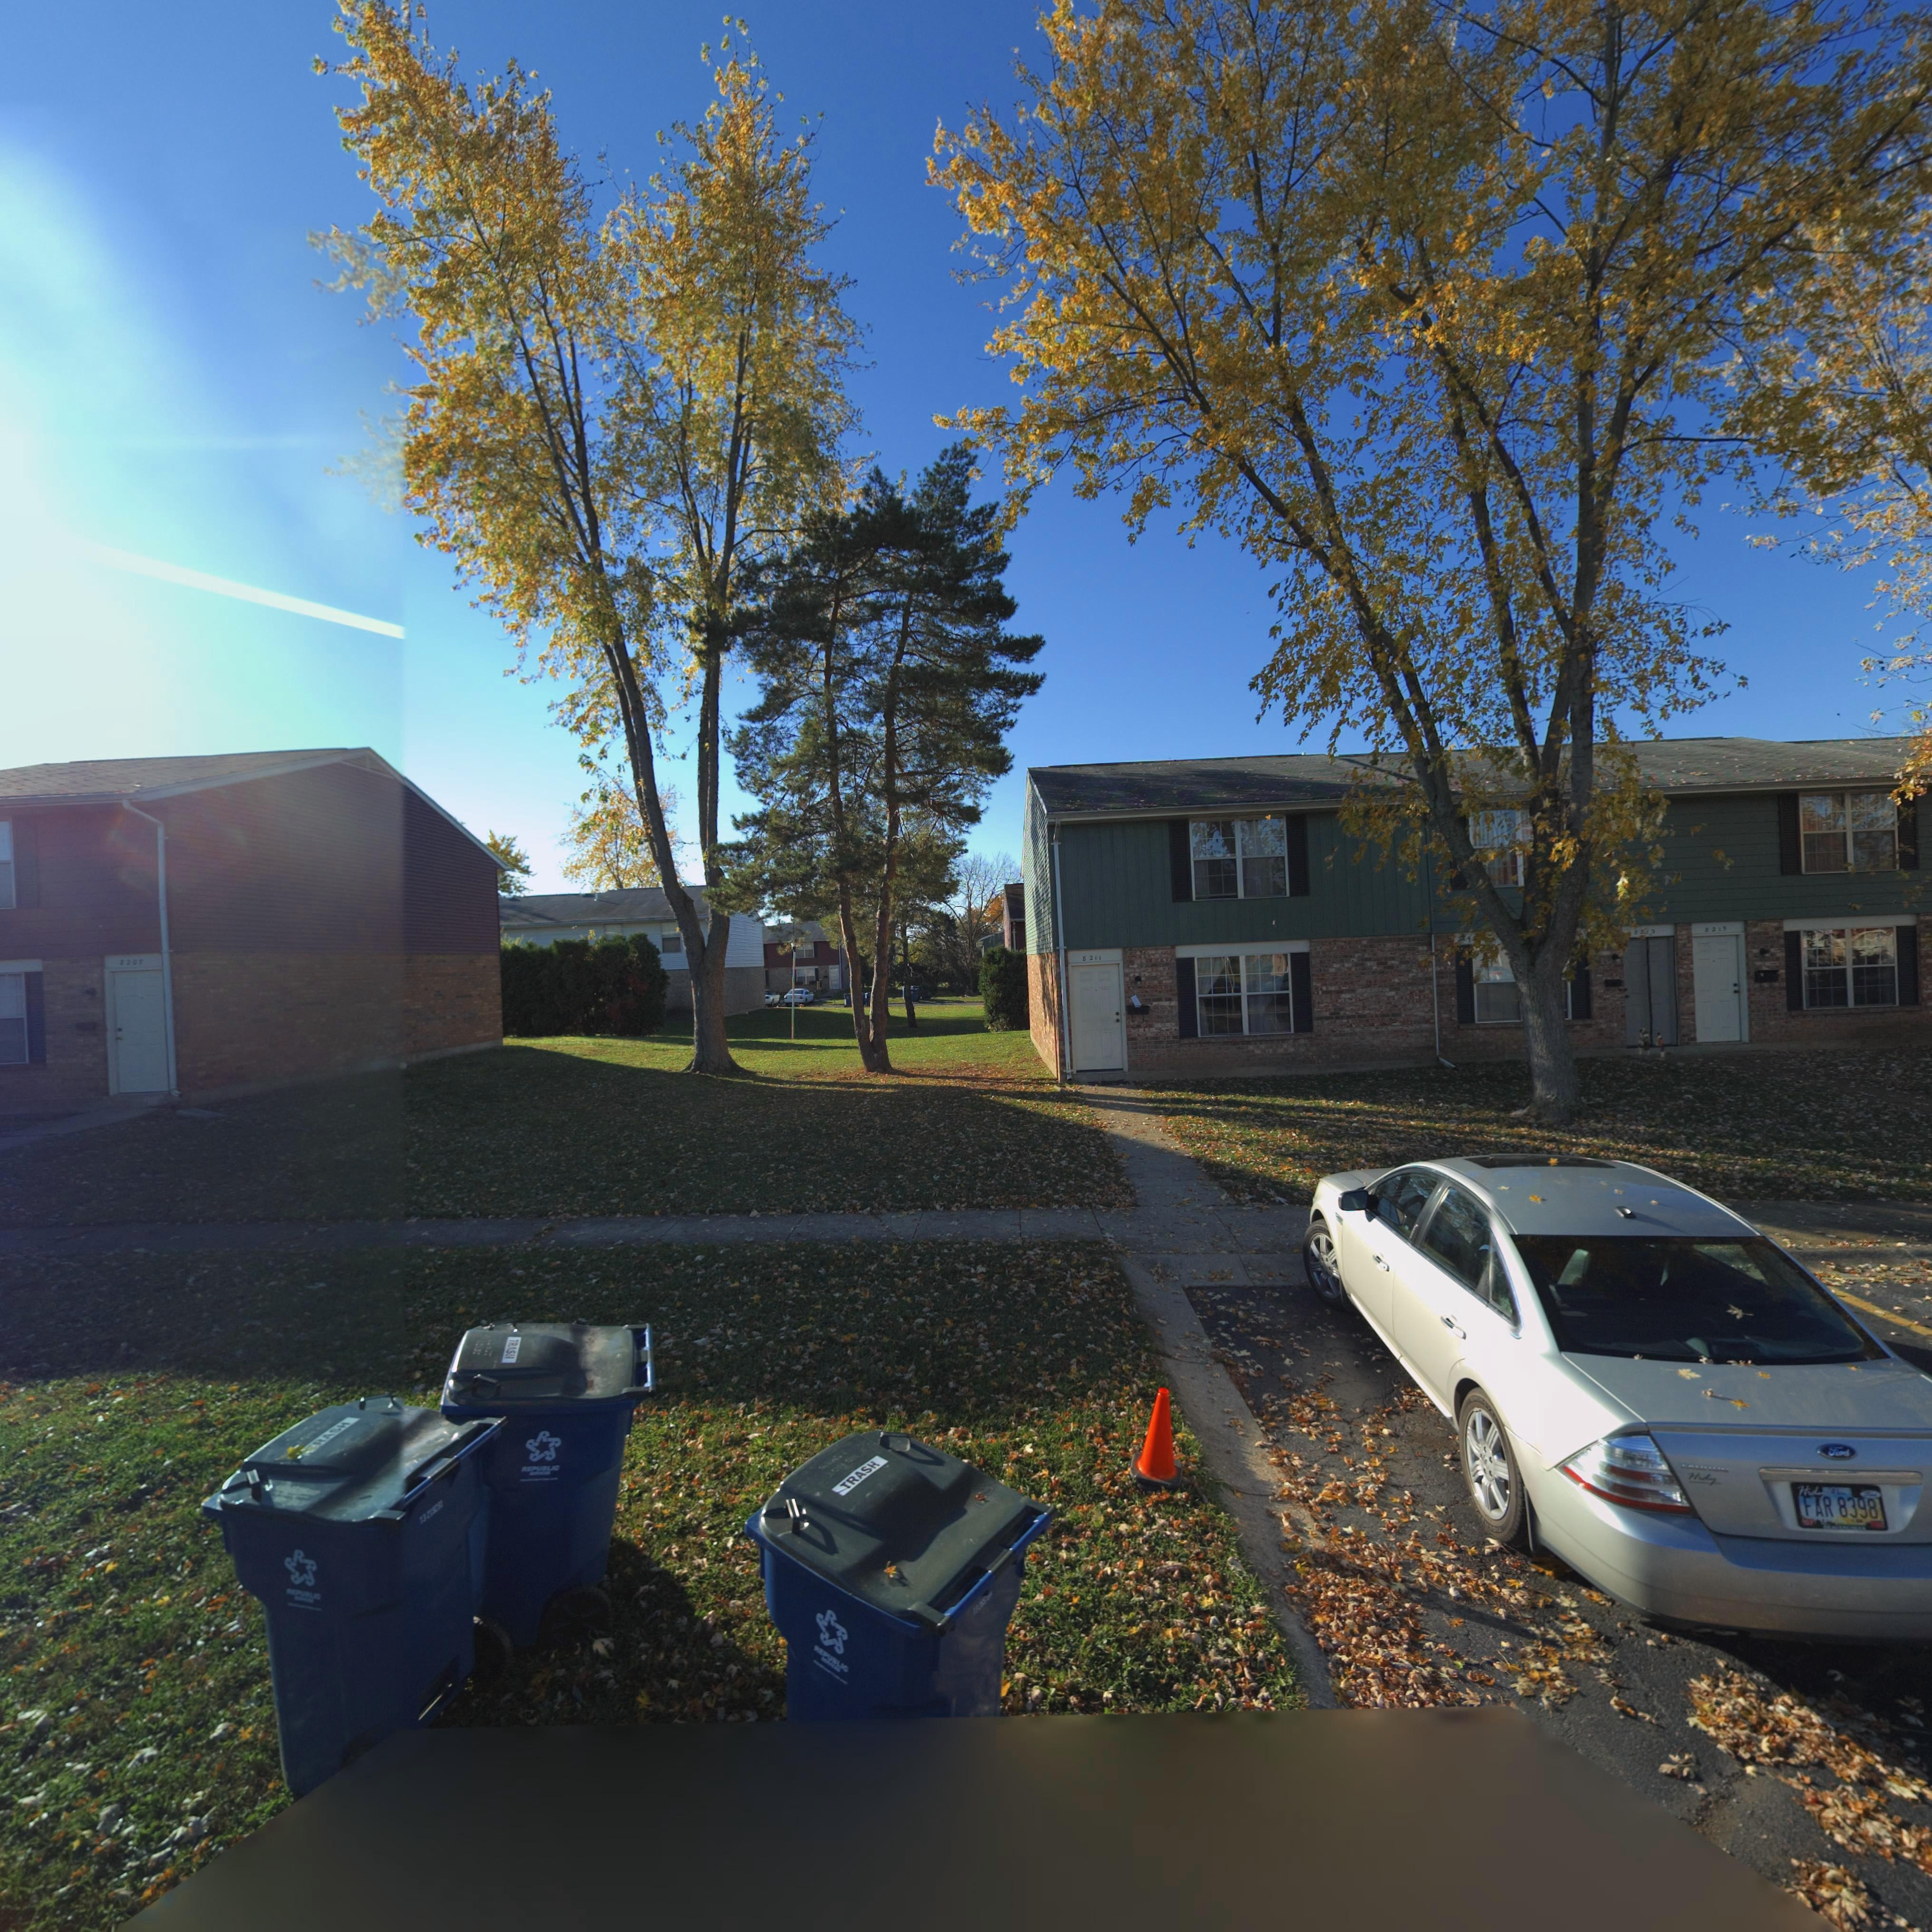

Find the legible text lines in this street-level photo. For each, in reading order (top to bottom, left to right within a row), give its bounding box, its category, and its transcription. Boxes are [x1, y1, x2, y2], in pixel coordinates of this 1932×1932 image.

[1633, 928, 1656, 935] StreetNumber: 8213
[1704, 925, 1727, 933] StreetNumber: 8215
[1082, 955, 1101, 962] StreetNumber: 8211
[117, 958, 145, 966] StreetNumber: 8207